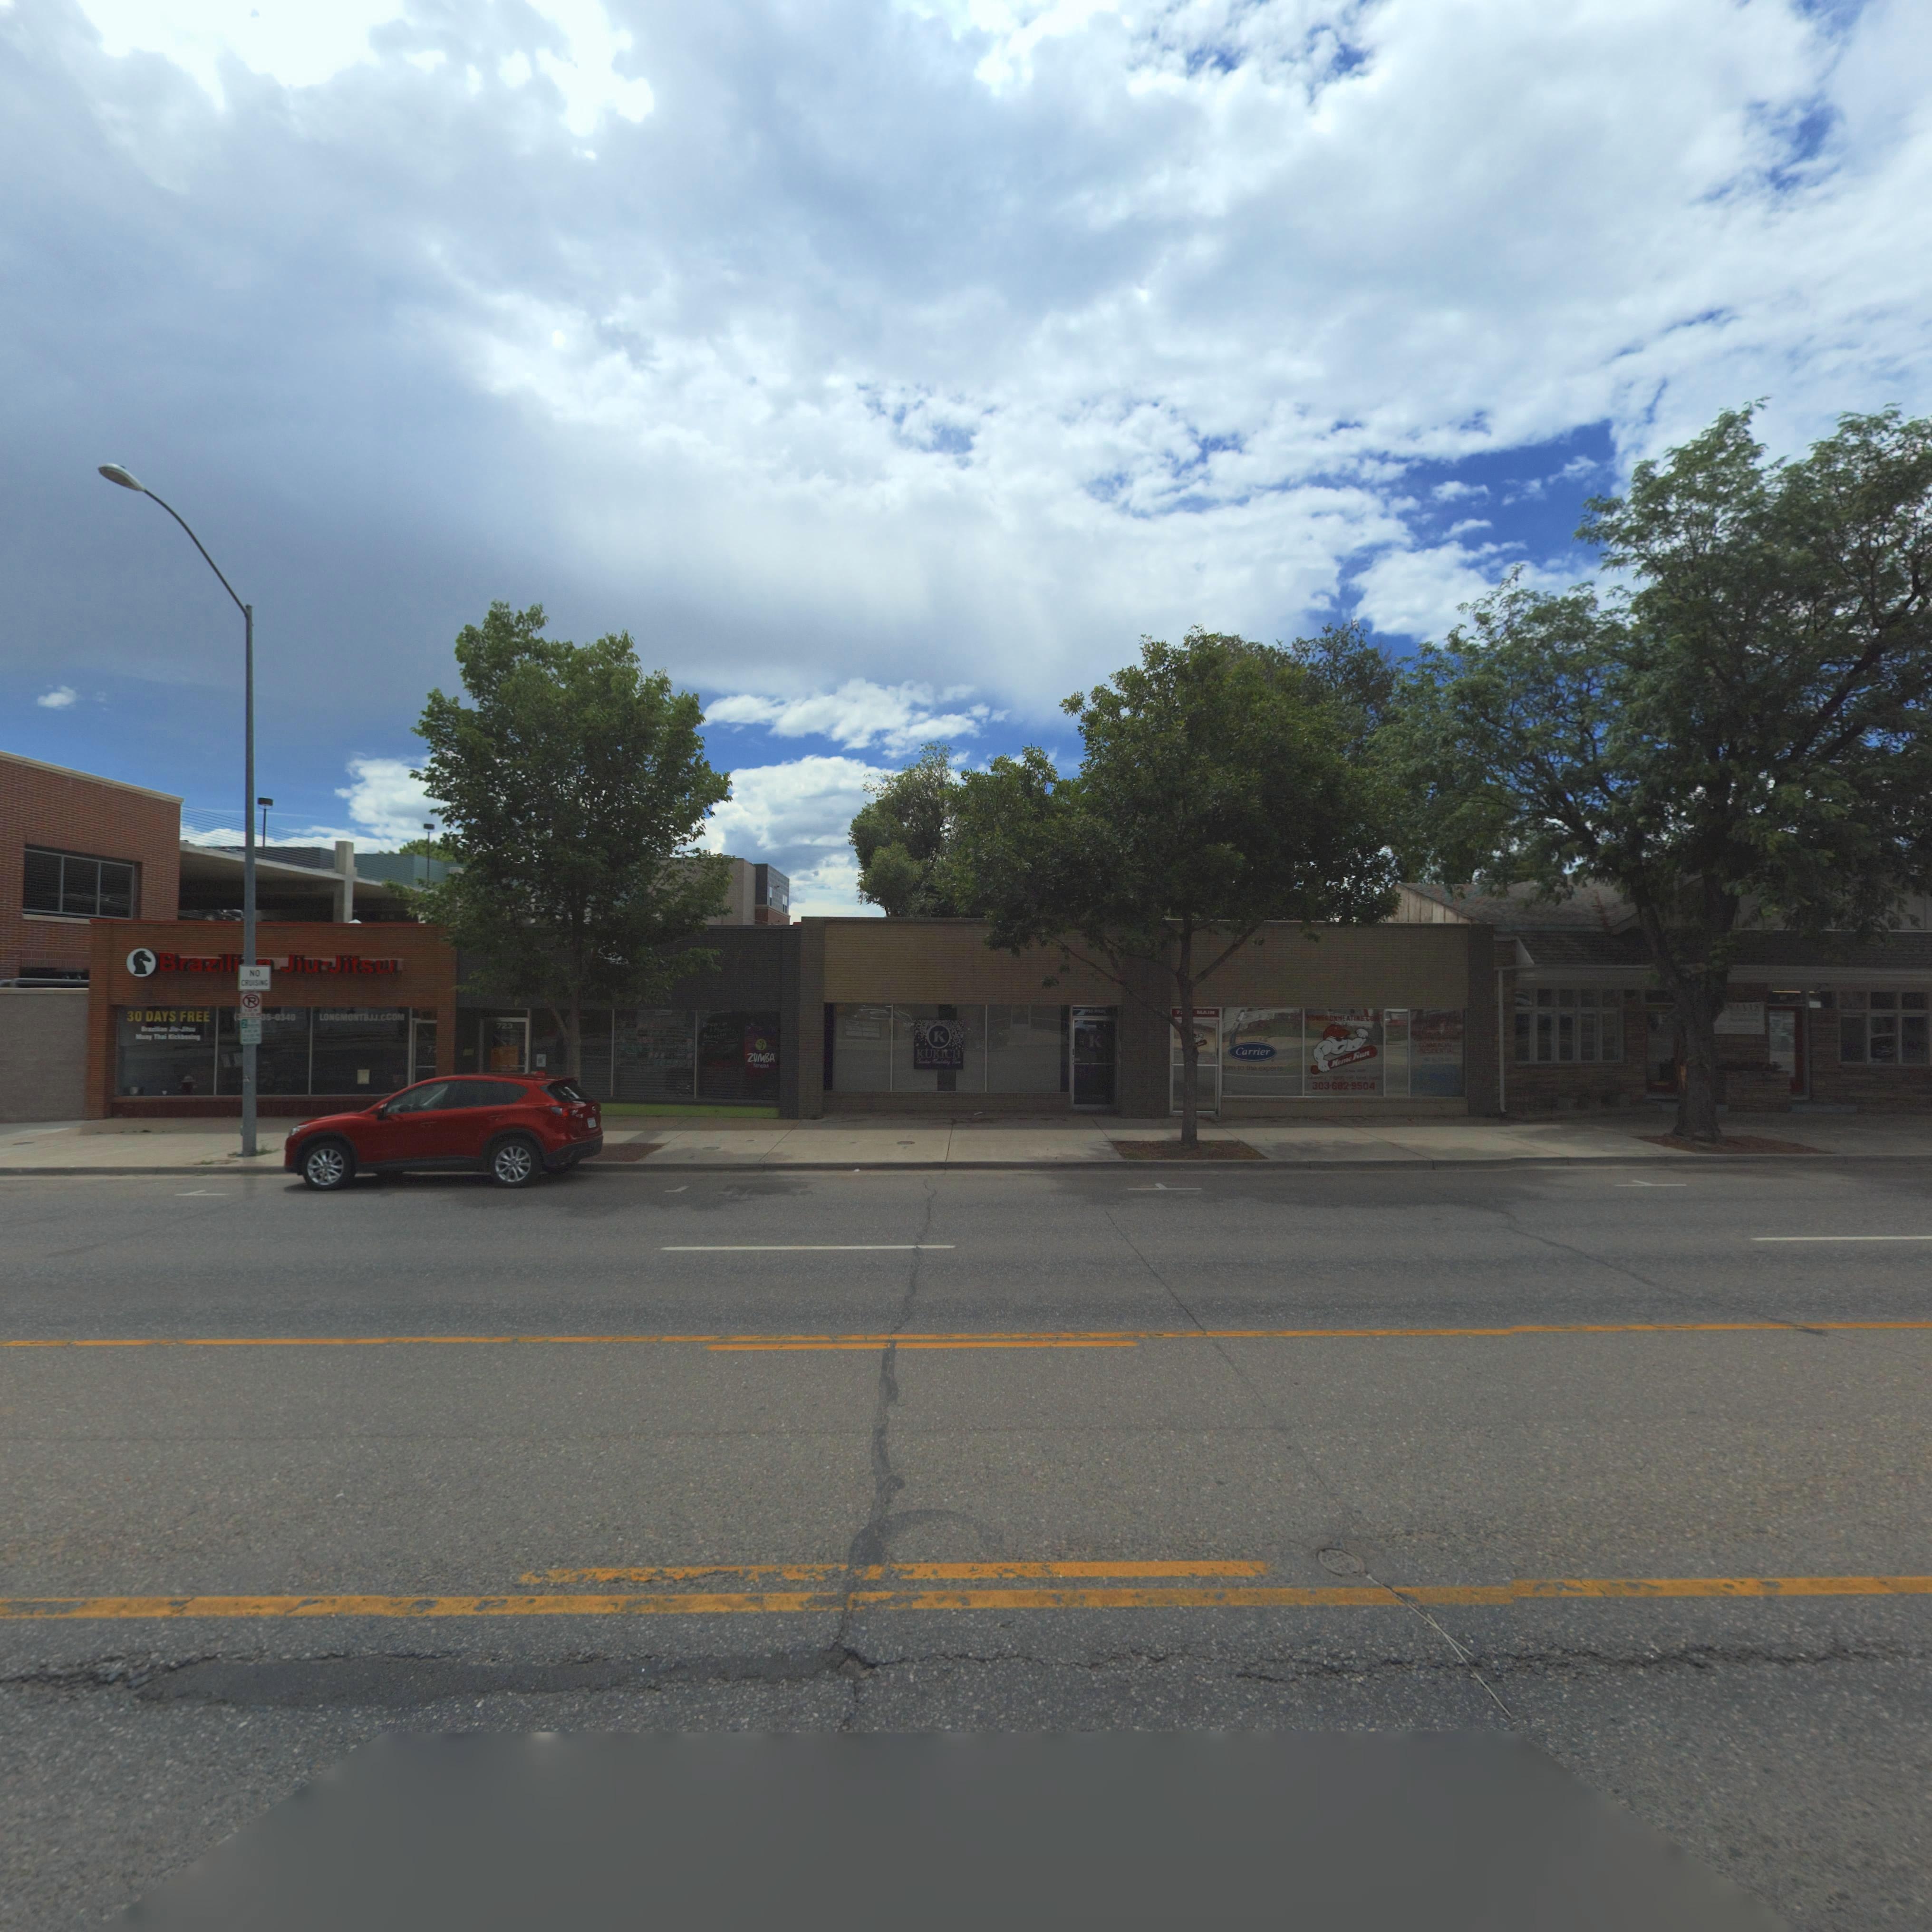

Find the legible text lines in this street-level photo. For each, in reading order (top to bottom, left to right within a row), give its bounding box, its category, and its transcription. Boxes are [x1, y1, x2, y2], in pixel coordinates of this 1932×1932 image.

[1085, 1009, 1093, 1013] StreetNumber: 715
[1094, 1009, 1106, 1013] StreetName: MAIN
[1176, 1010, 1180, 1014] StreetNumber: 7
[1197, 1010, 1215, 1014] StreetName: MAIN
[495, 1022, 512, 1029] StreetNumber: 723
[426, 1045, 433, 1053] StreetNumber: 7
[917, 1049, 961, 1058] BusinessName: KUKICH
[1331, 1050, 1369, 1067] BusinessName: Home Run